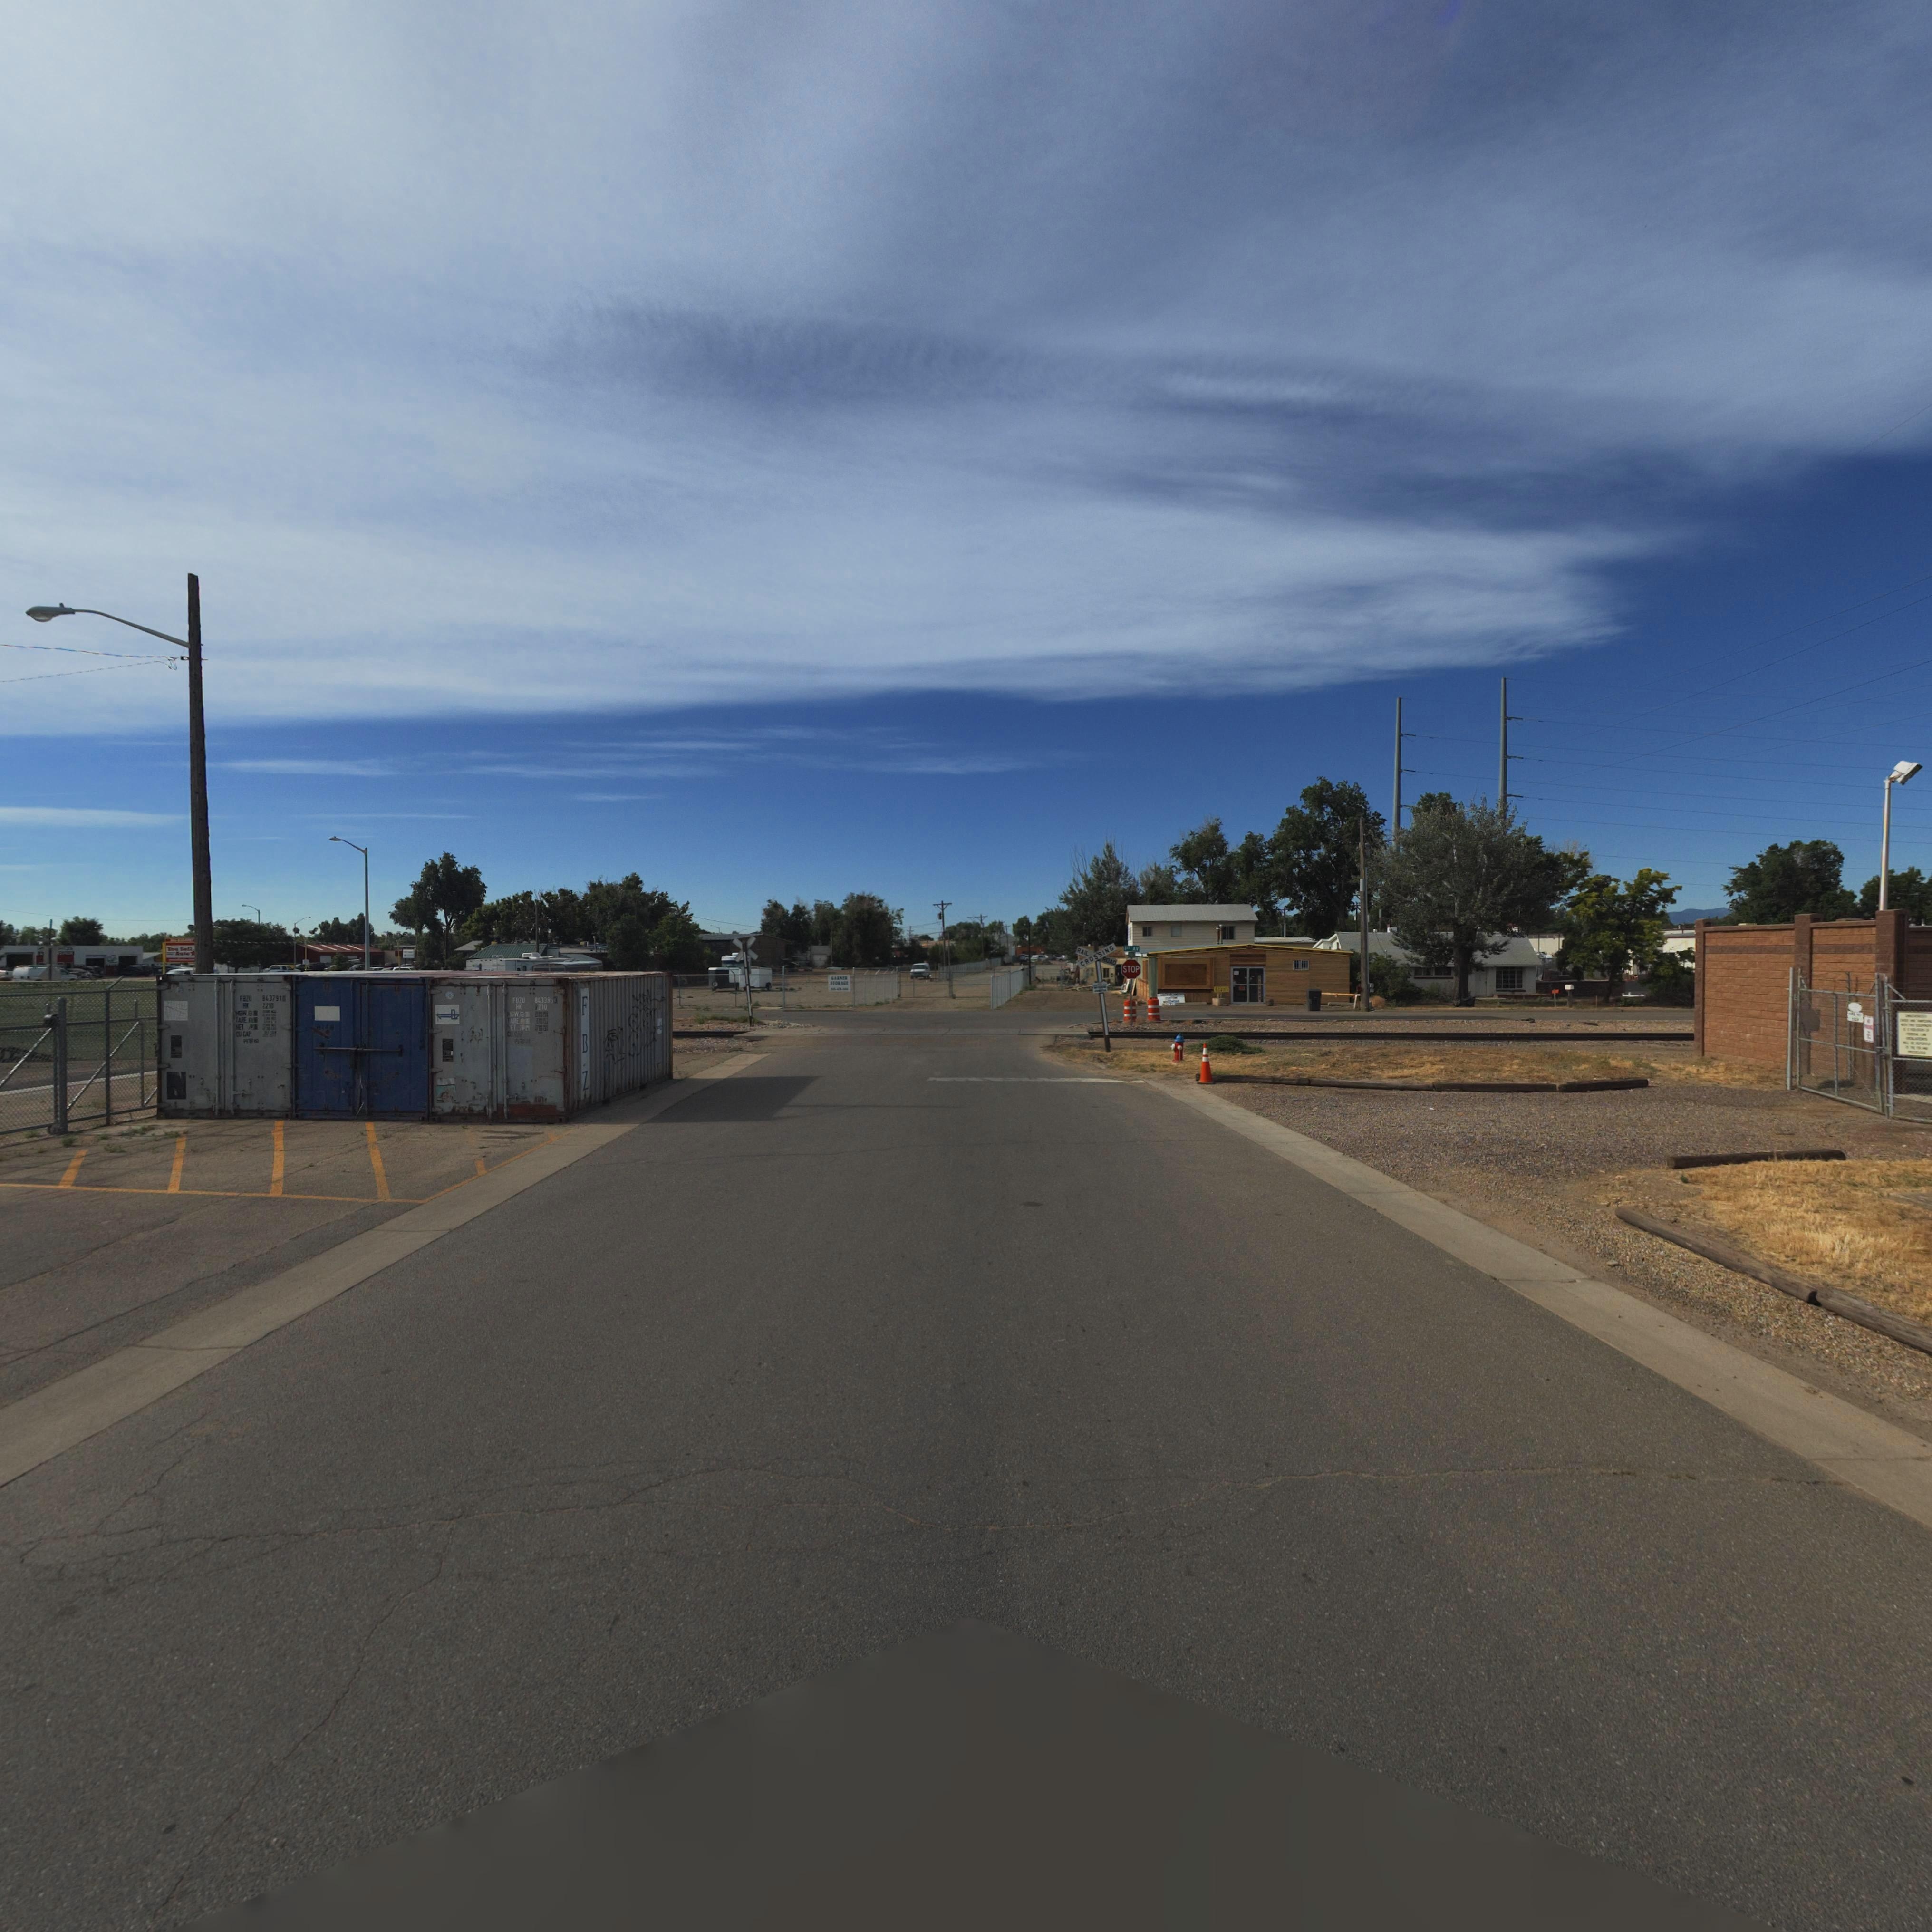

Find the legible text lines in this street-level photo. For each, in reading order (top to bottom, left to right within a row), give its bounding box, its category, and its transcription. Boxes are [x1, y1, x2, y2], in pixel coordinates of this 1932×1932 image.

[166, 947, 192, 951] BusinessName: You Sell
[1124, 946, 1139, 951] StreetName: 1** AV
[174, 951, 190, 956] BusinessName: Auto
[831, 976, 847, 980] BusinessName: GAR**R
[830, 981, 849, 985] BusinessName: STOR***